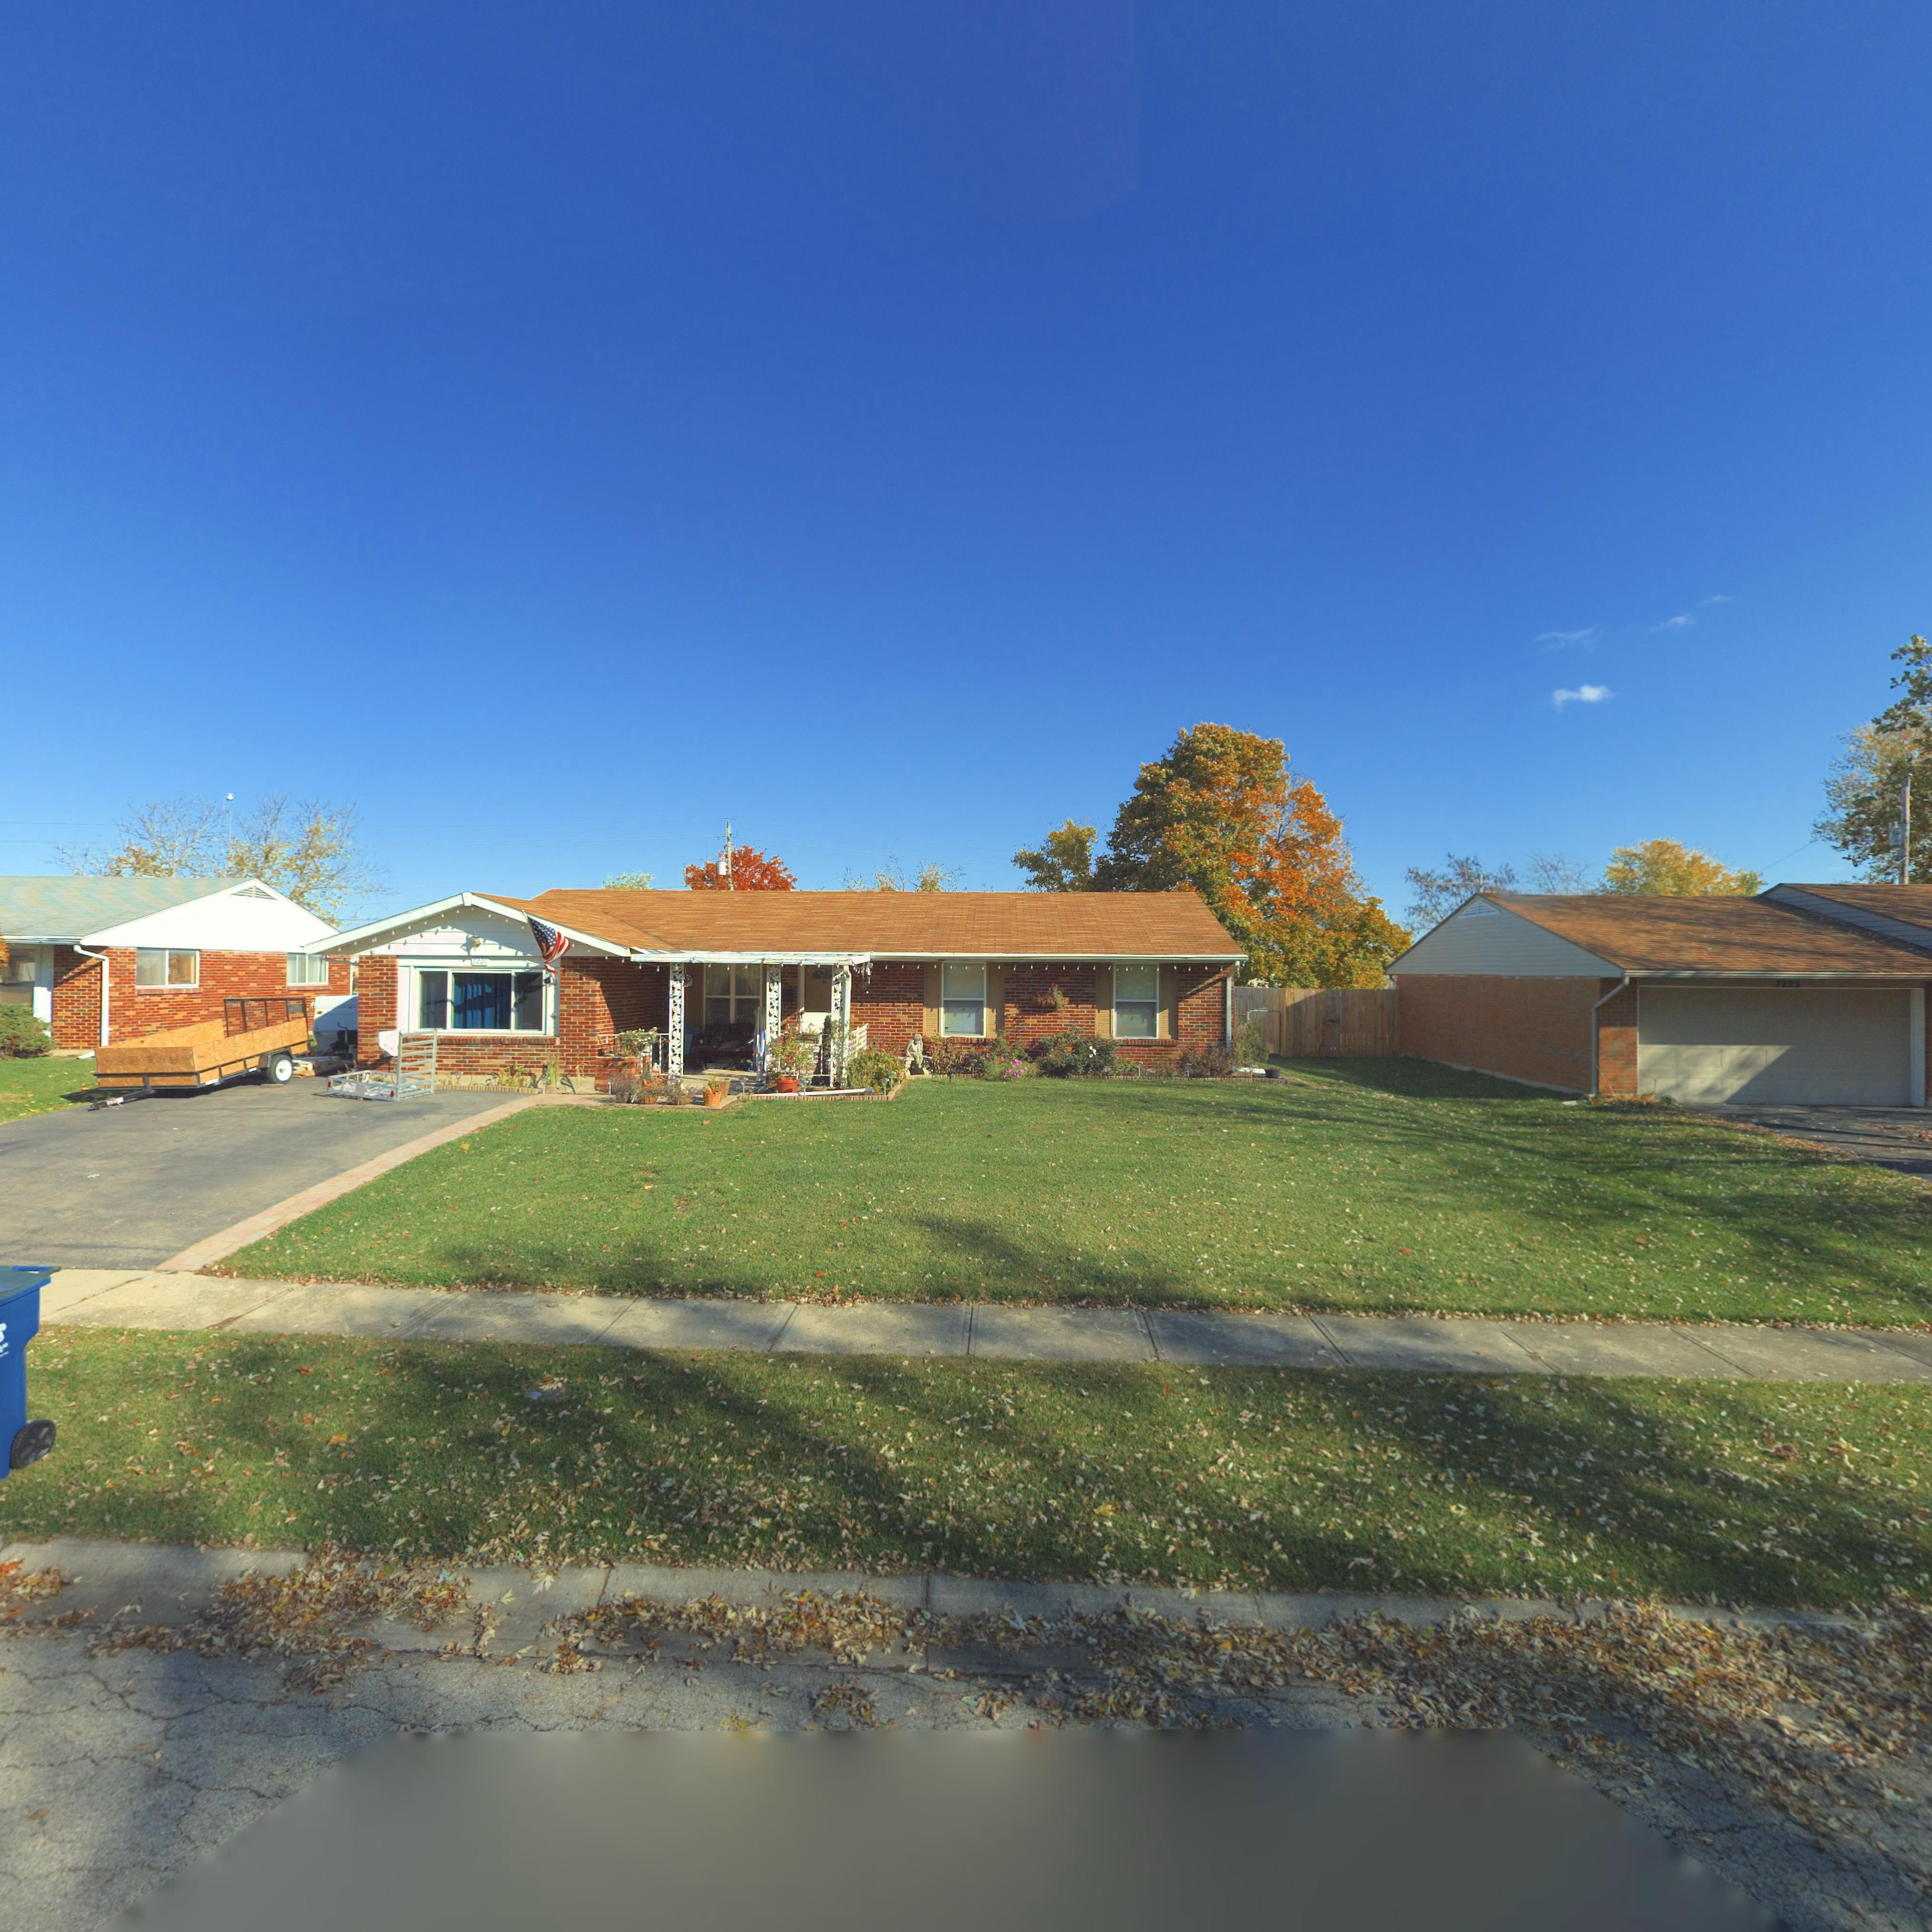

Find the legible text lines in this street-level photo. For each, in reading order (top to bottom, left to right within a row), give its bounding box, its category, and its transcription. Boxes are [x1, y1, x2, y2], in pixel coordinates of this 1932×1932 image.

[472, 957, 488, 966] StreetNumber: *22*
[1773, 979, 1801, 989] StreetNumber: 7225